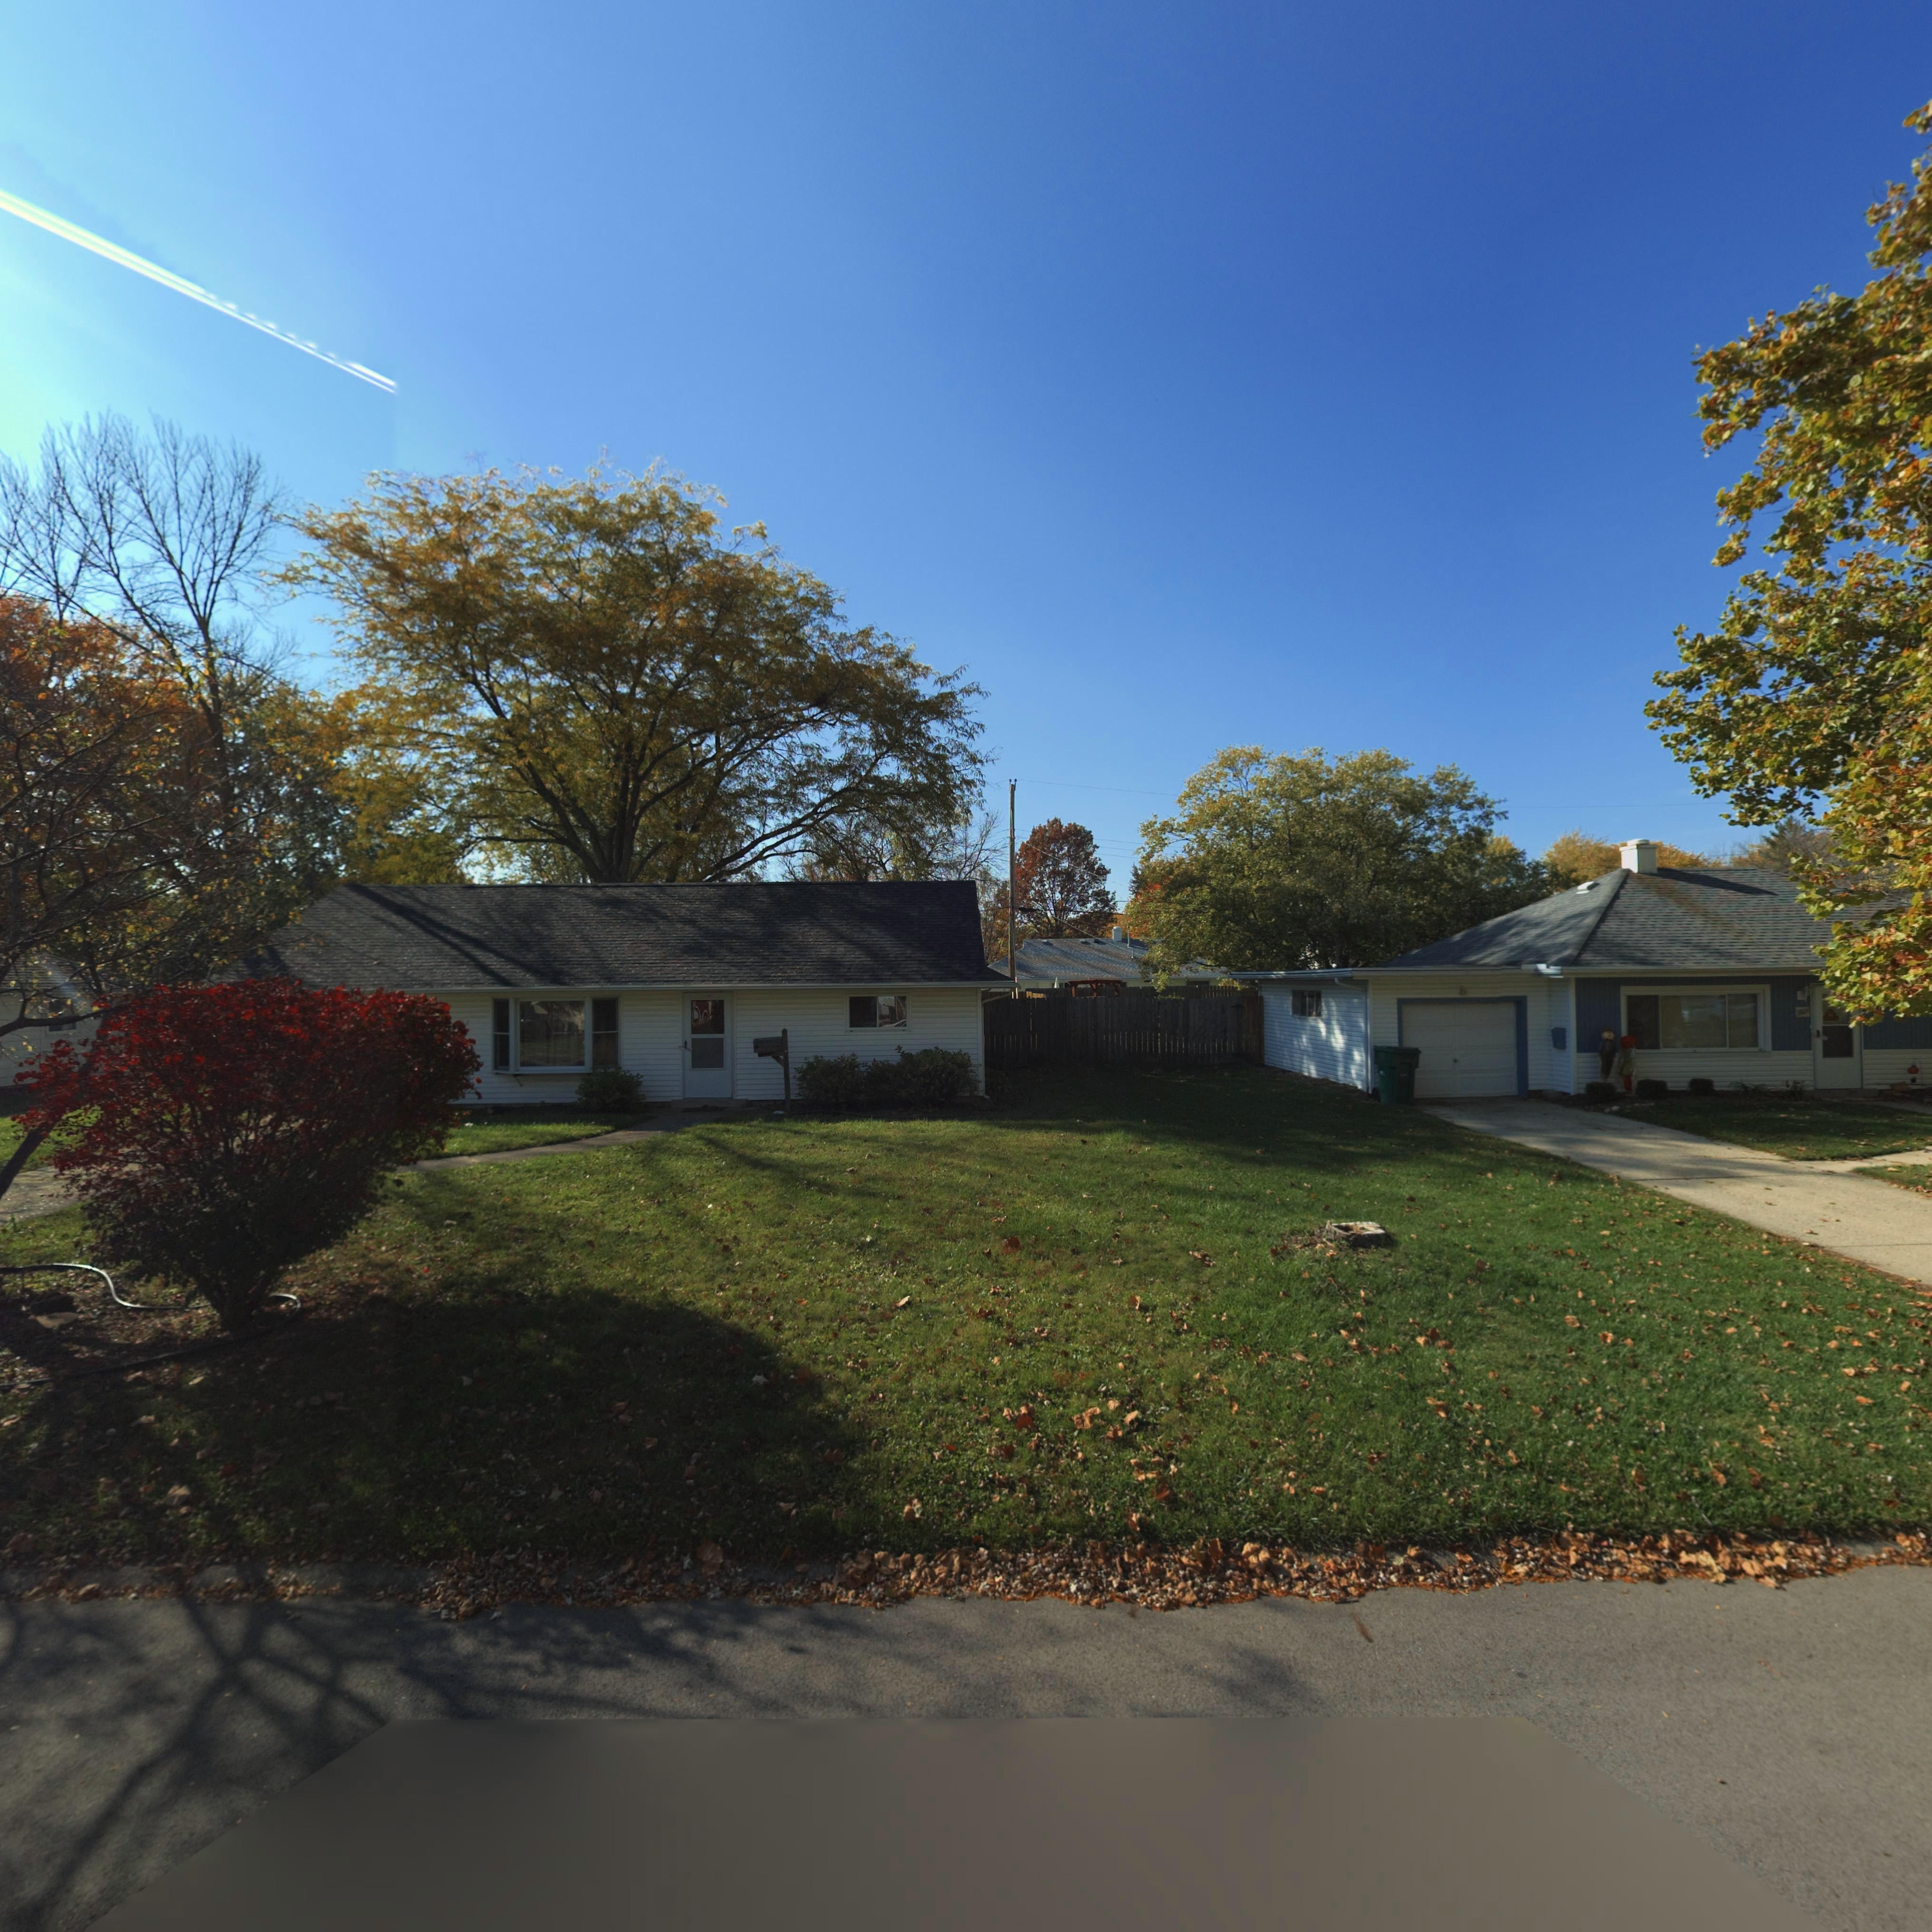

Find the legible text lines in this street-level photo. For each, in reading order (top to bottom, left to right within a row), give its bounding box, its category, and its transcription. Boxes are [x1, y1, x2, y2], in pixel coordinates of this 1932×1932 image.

[1796, 1008, 1810, 1016] StreetNumber: 3809